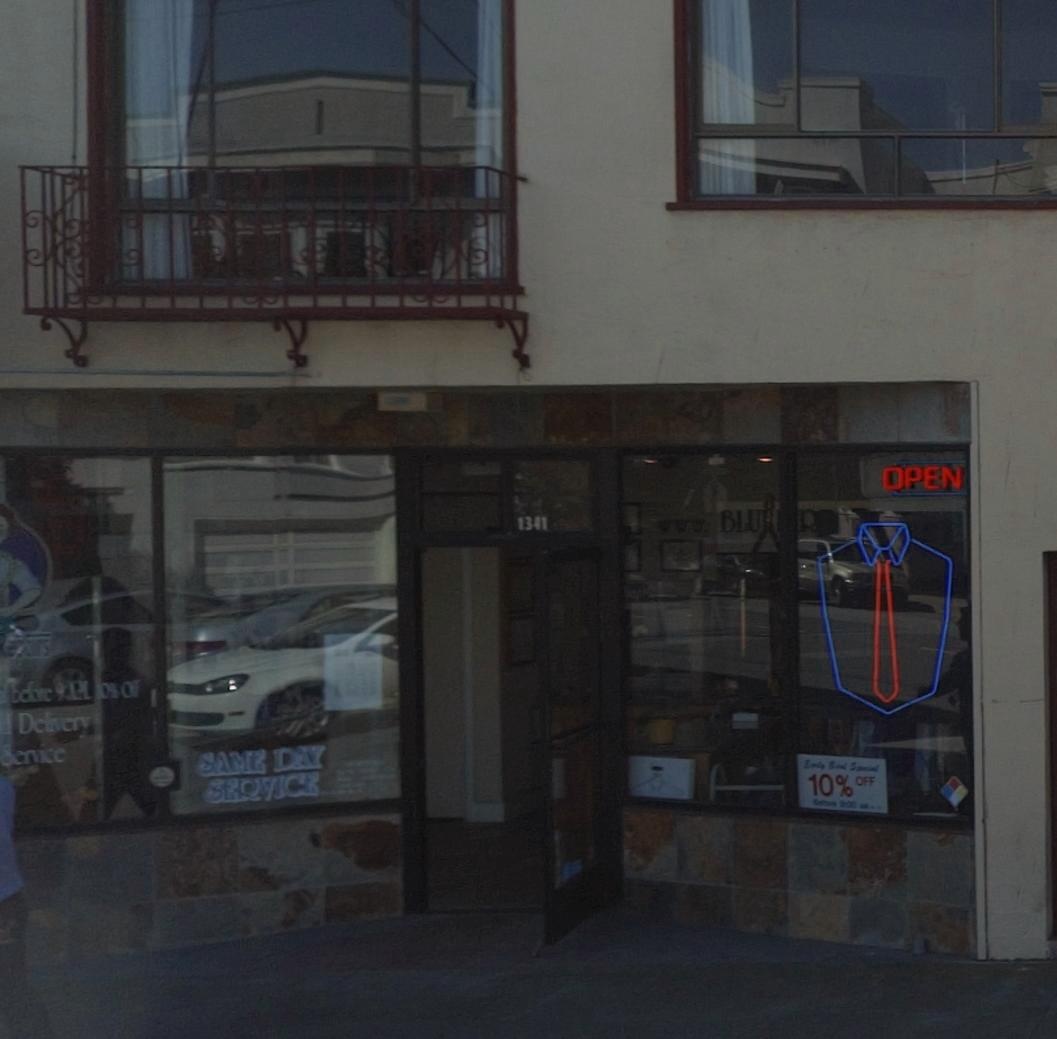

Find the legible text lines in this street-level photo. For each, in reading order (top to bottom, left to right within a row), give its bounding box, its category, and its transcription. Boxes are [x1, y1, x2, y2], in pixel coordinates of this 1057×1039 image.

[880, 464, 962, 491] None: OPEN
[517, 515, 549, 531] StreetNumber: 1341
[718, 507, 762, 532] None: BLU
[93, 678, 143, 702] None: 10% OF
[17, 710, 92, 740] None: Delivery
[1, 742, 70, 767] None: Service
[196, 743, 327, 778] None: SAME DAY
[204, 770, 322, 806] None: SERVICE
[807, 772, 853, 797] None: 10%
[854, 773, 875, 786] None: OFF